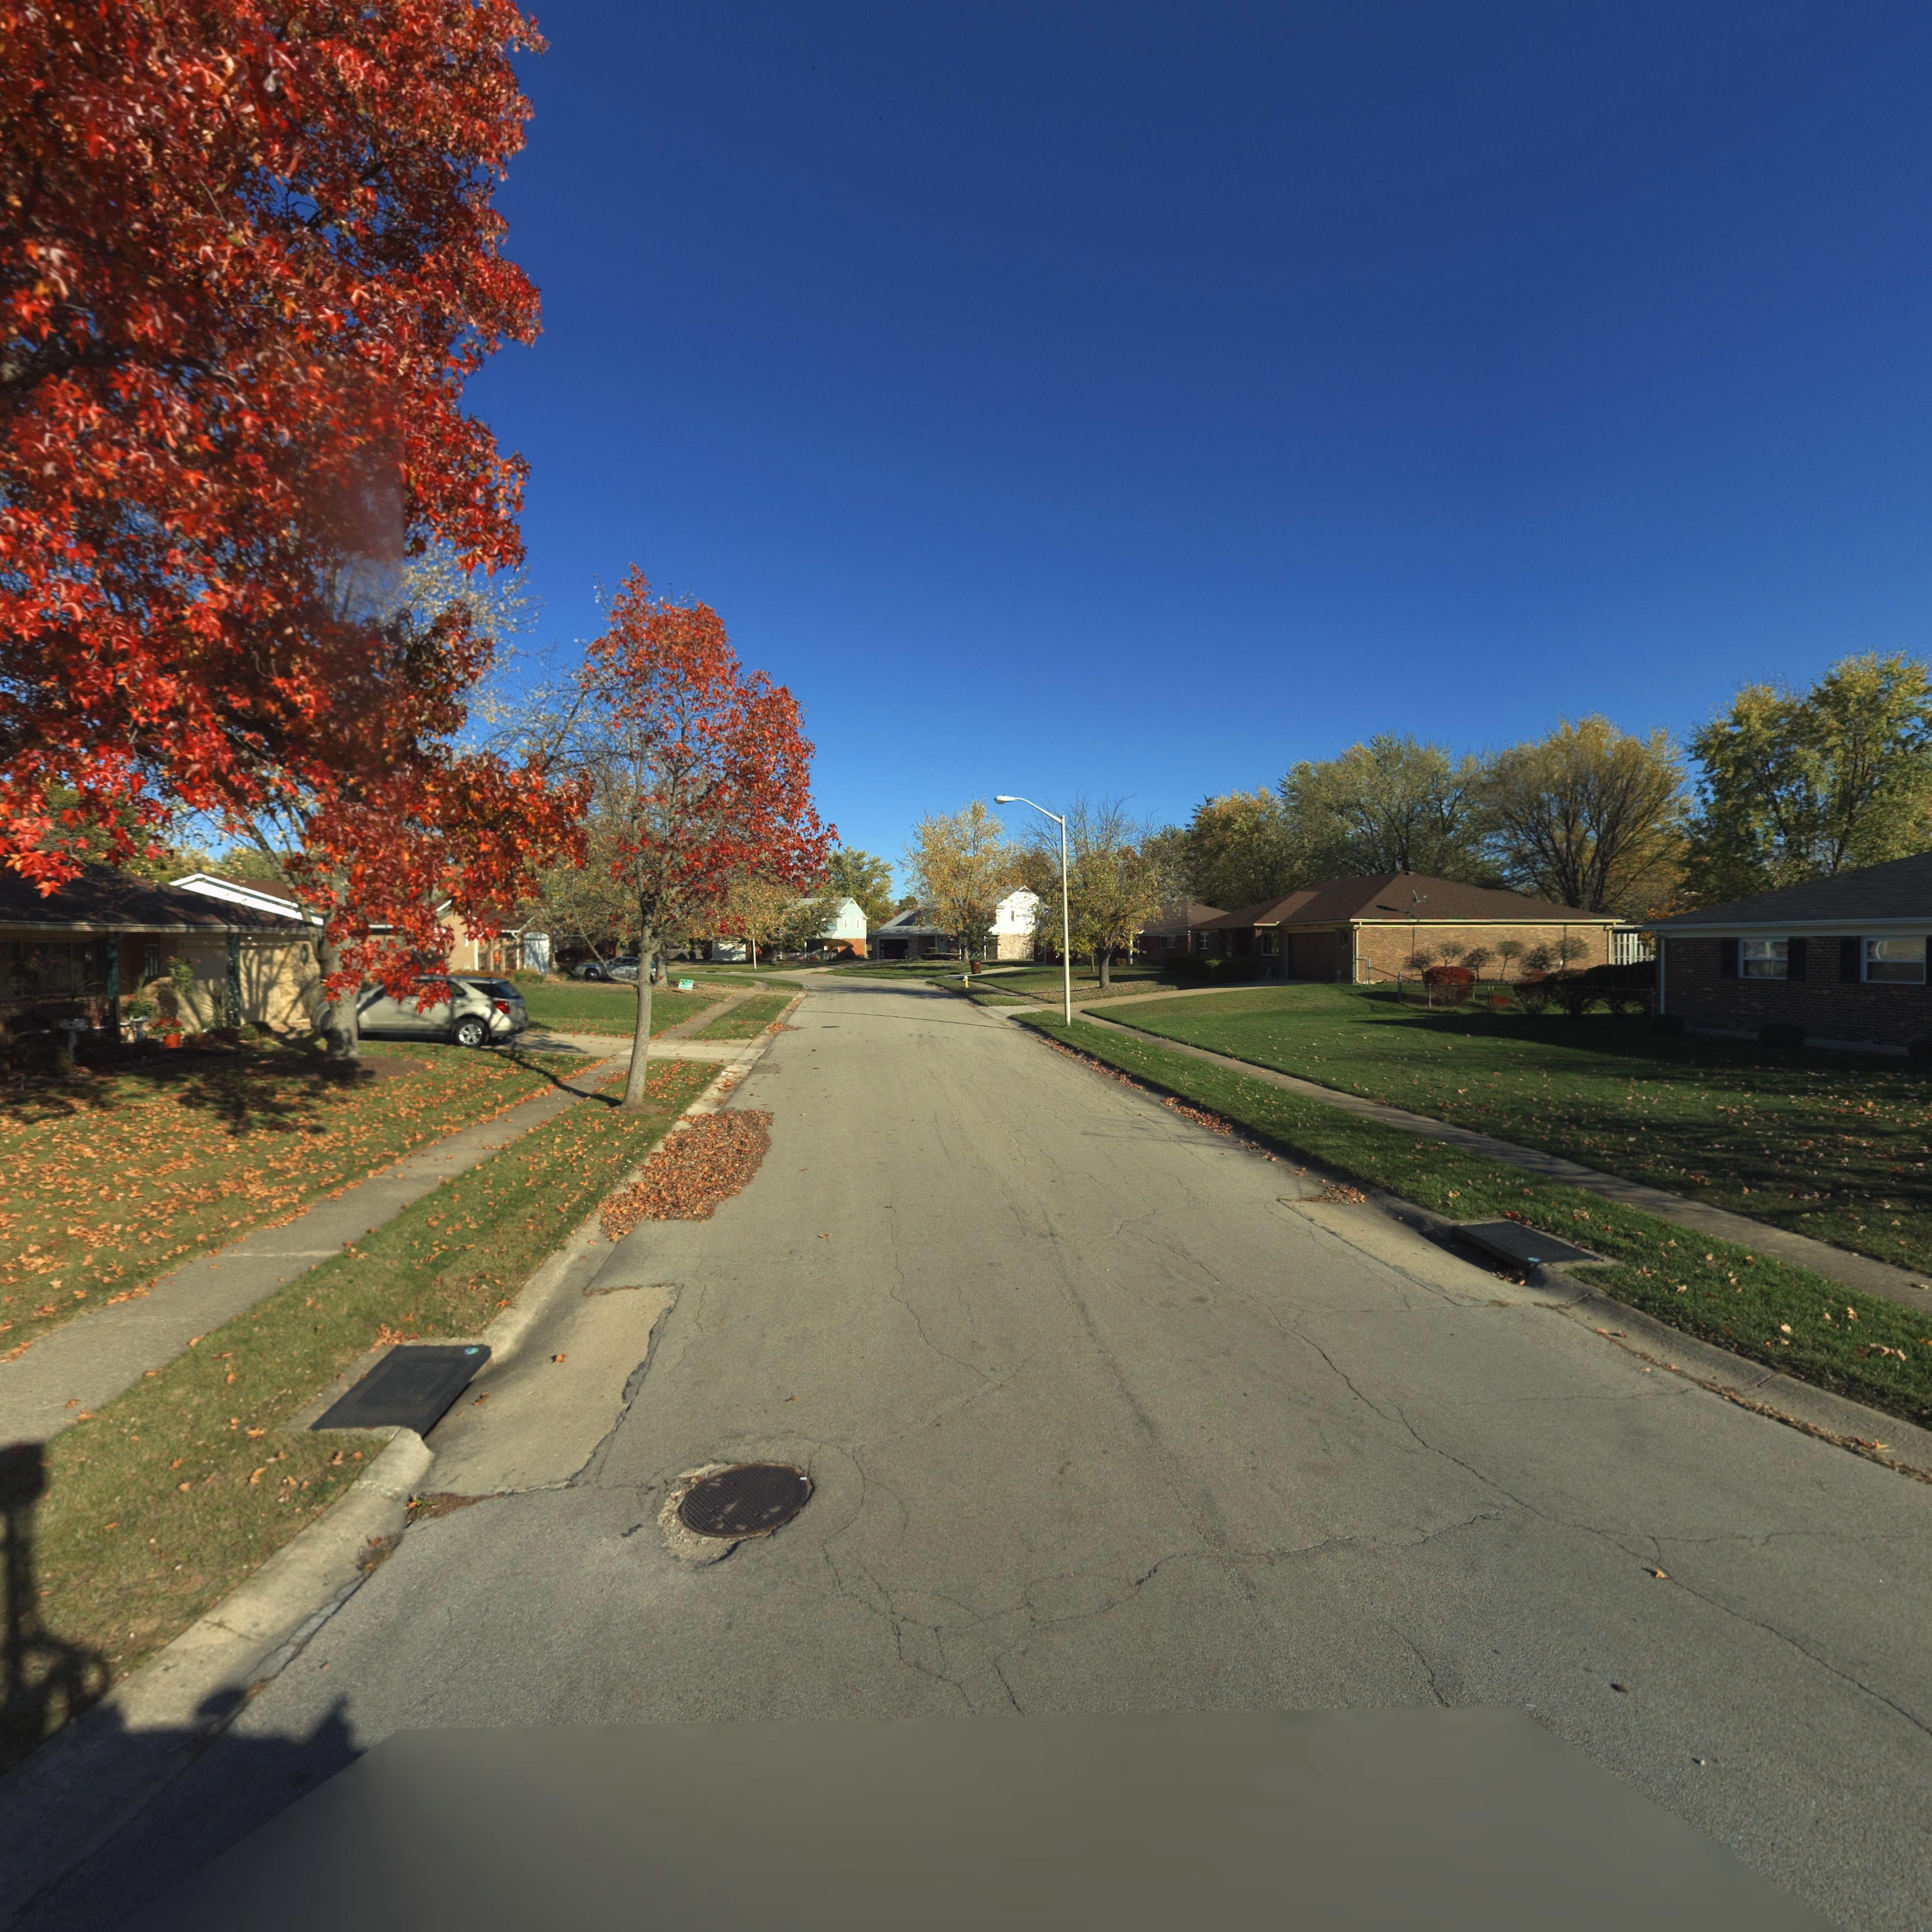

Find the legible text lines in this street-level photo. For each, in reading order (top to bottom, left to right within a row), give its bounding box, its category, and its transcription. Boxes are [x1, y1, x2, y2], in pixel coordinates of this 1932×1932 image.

[1316, 924, 1324, 928] StreetNumber: 7***